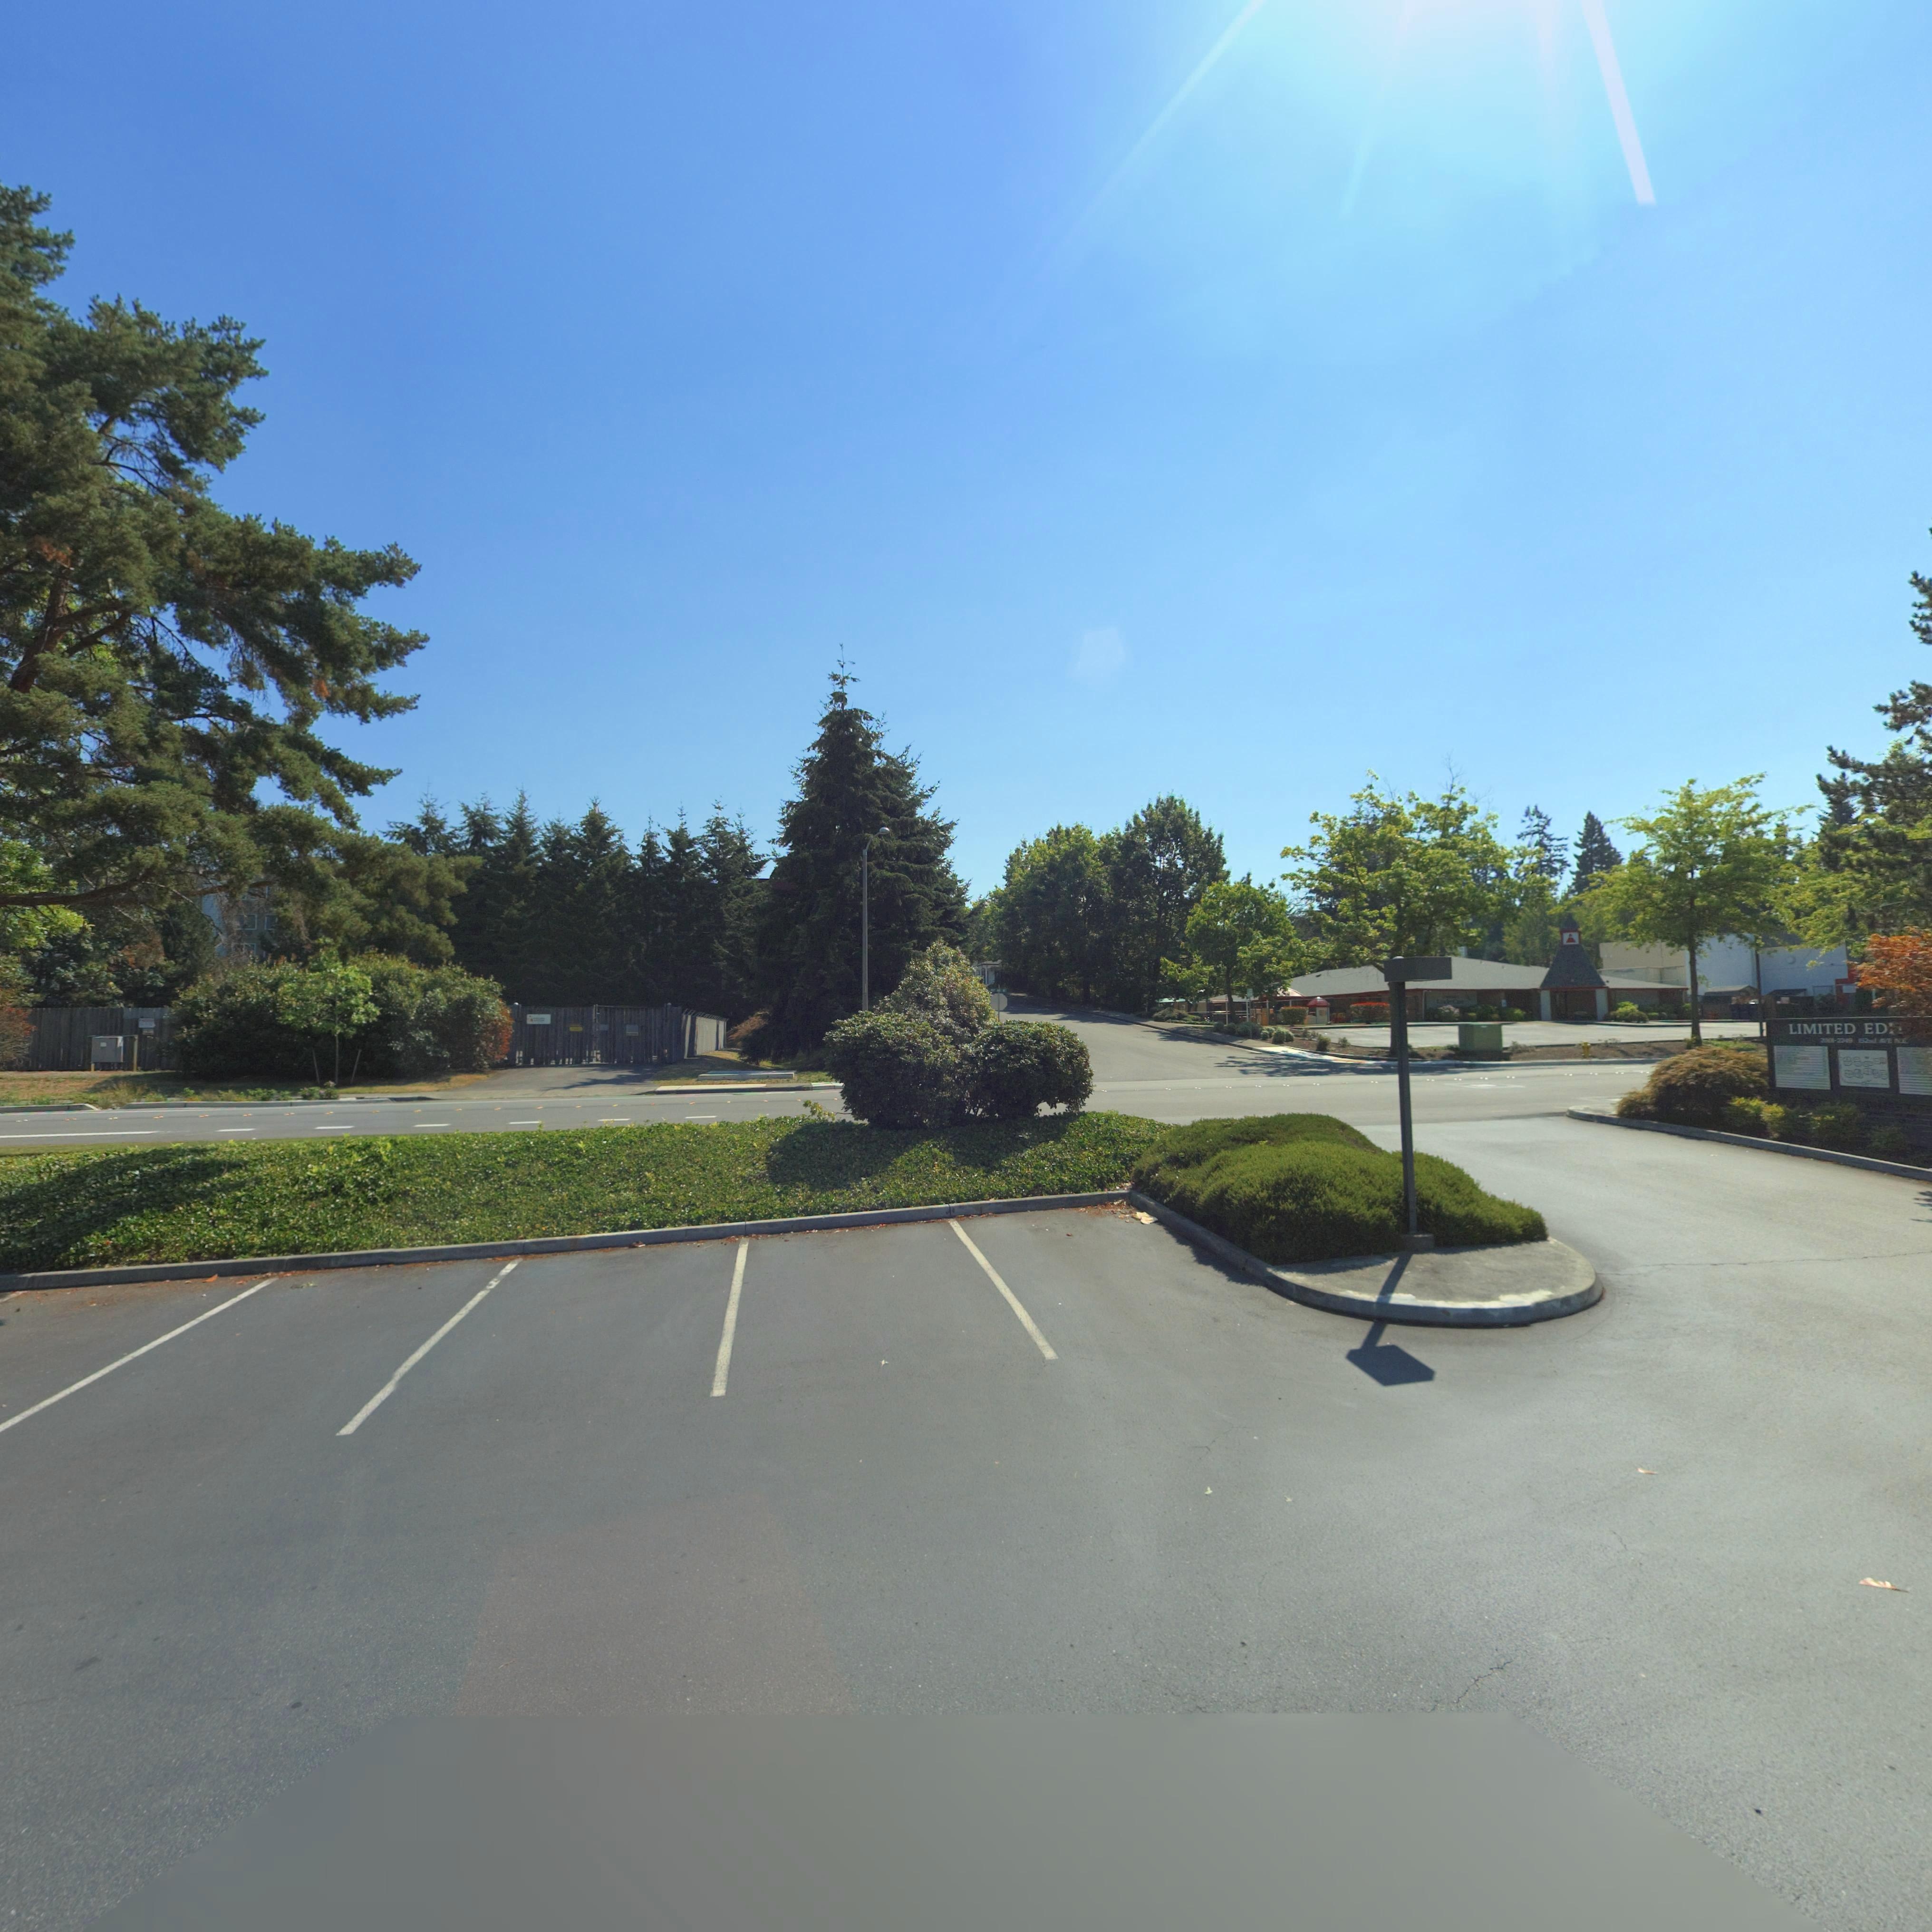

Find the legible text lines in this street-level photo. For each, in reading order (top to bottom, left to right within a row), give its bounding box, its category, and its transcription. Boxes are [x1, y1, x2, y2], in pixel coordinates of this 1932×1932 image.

[1789, 1023, 1887, 1034] BusinessName: LIMITED ED
[1836, 1037, 1853, 1043] StreetNumber: 2249
[1857, 1037, 1907, 1044] StreetName: 152nd ST NE